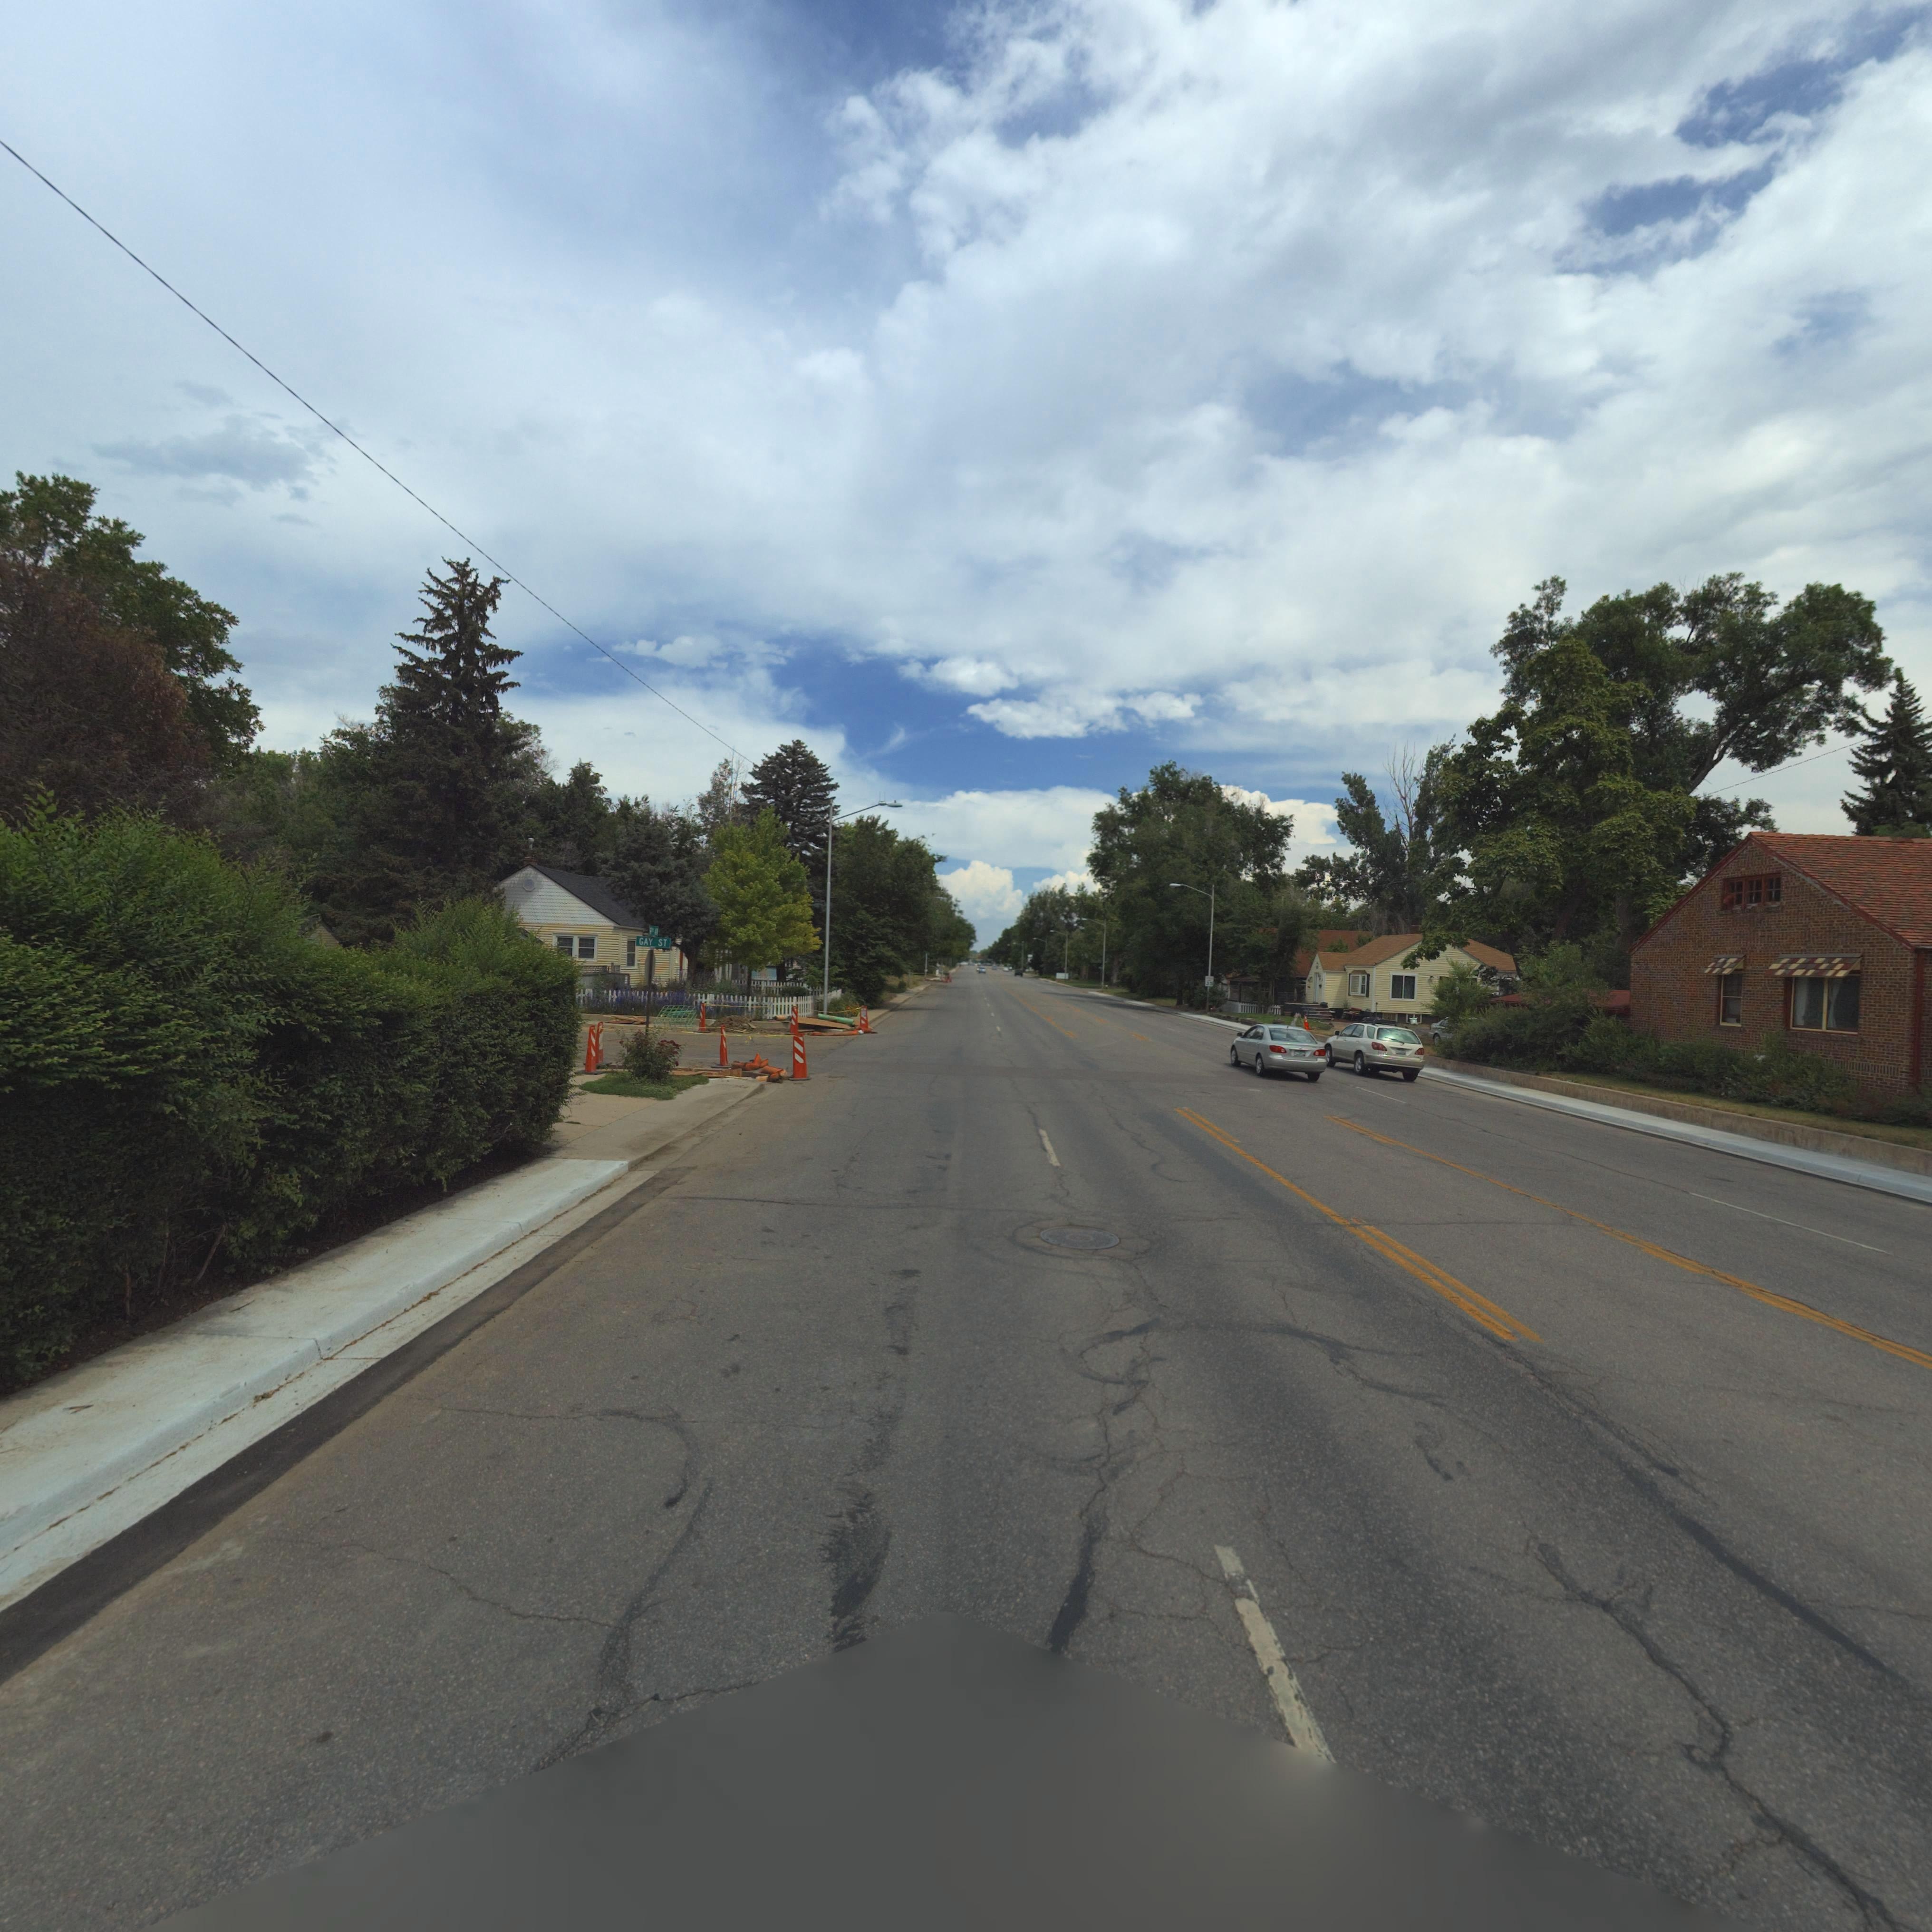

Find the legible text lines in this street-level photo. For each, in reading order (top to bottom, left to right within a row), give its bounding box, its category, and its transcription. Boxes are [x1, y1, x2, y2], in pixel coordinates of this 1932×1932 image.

[638, 937, 667, 947] StreetName: GAY ST